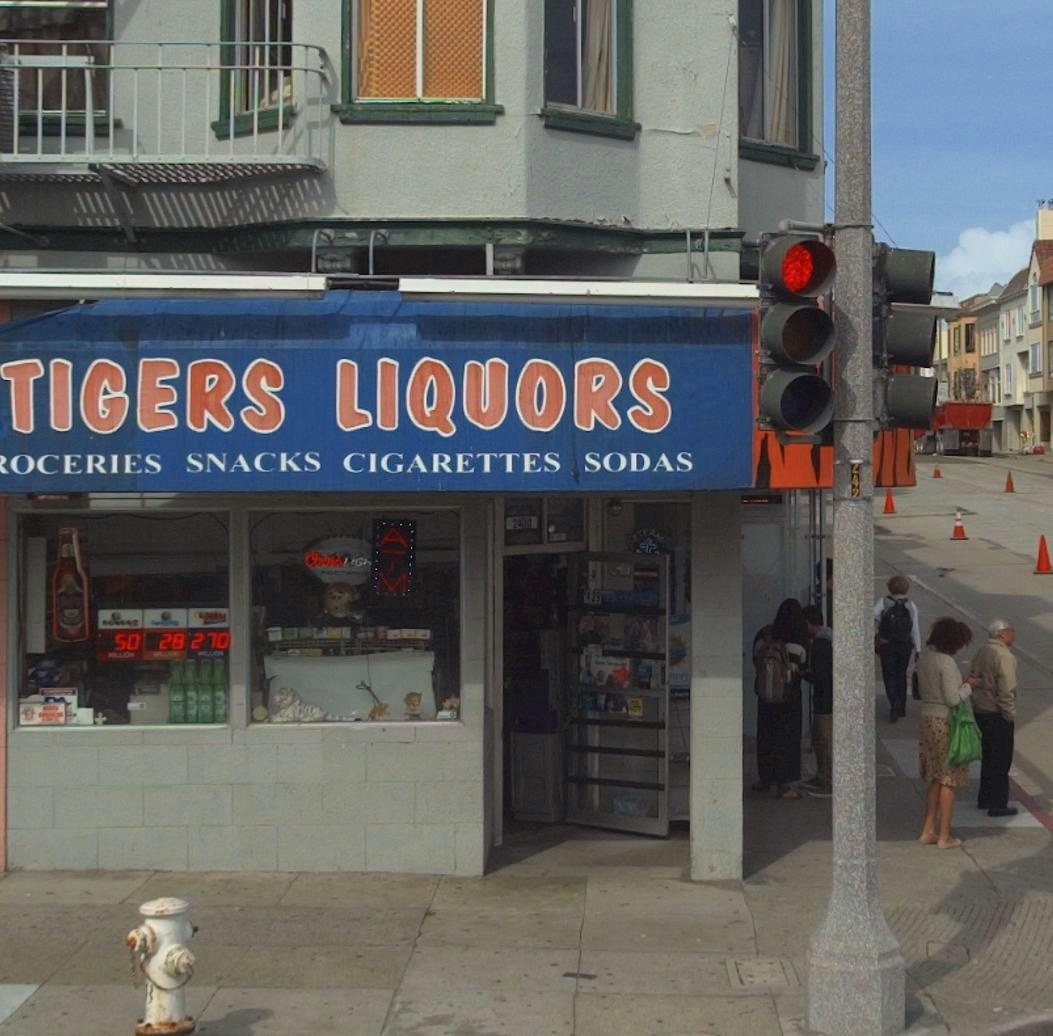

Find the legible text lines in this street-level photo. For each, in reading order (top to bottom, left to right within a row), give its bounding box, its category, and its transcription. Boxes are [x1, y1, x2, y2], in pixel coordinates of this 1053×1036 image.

[1, 357, 673, 439] BusinessName: TIGERS LIQUORS 
[8, 449, 696, 477] None: OCERIES SNACKS CIGARETTES SODAS
[848, 472, 861, 489] None: 4
[511, 515, 534, 531] StreetNumber: 24*0
[302, 550, 367, 570] None: CoorsLIG
[374, 524, 409, 595] None: ATM
[112, 631, 143, 653] None: 50
[155, 630, 188, 653] None: 28
[188, 629, 232, 652] None: 270